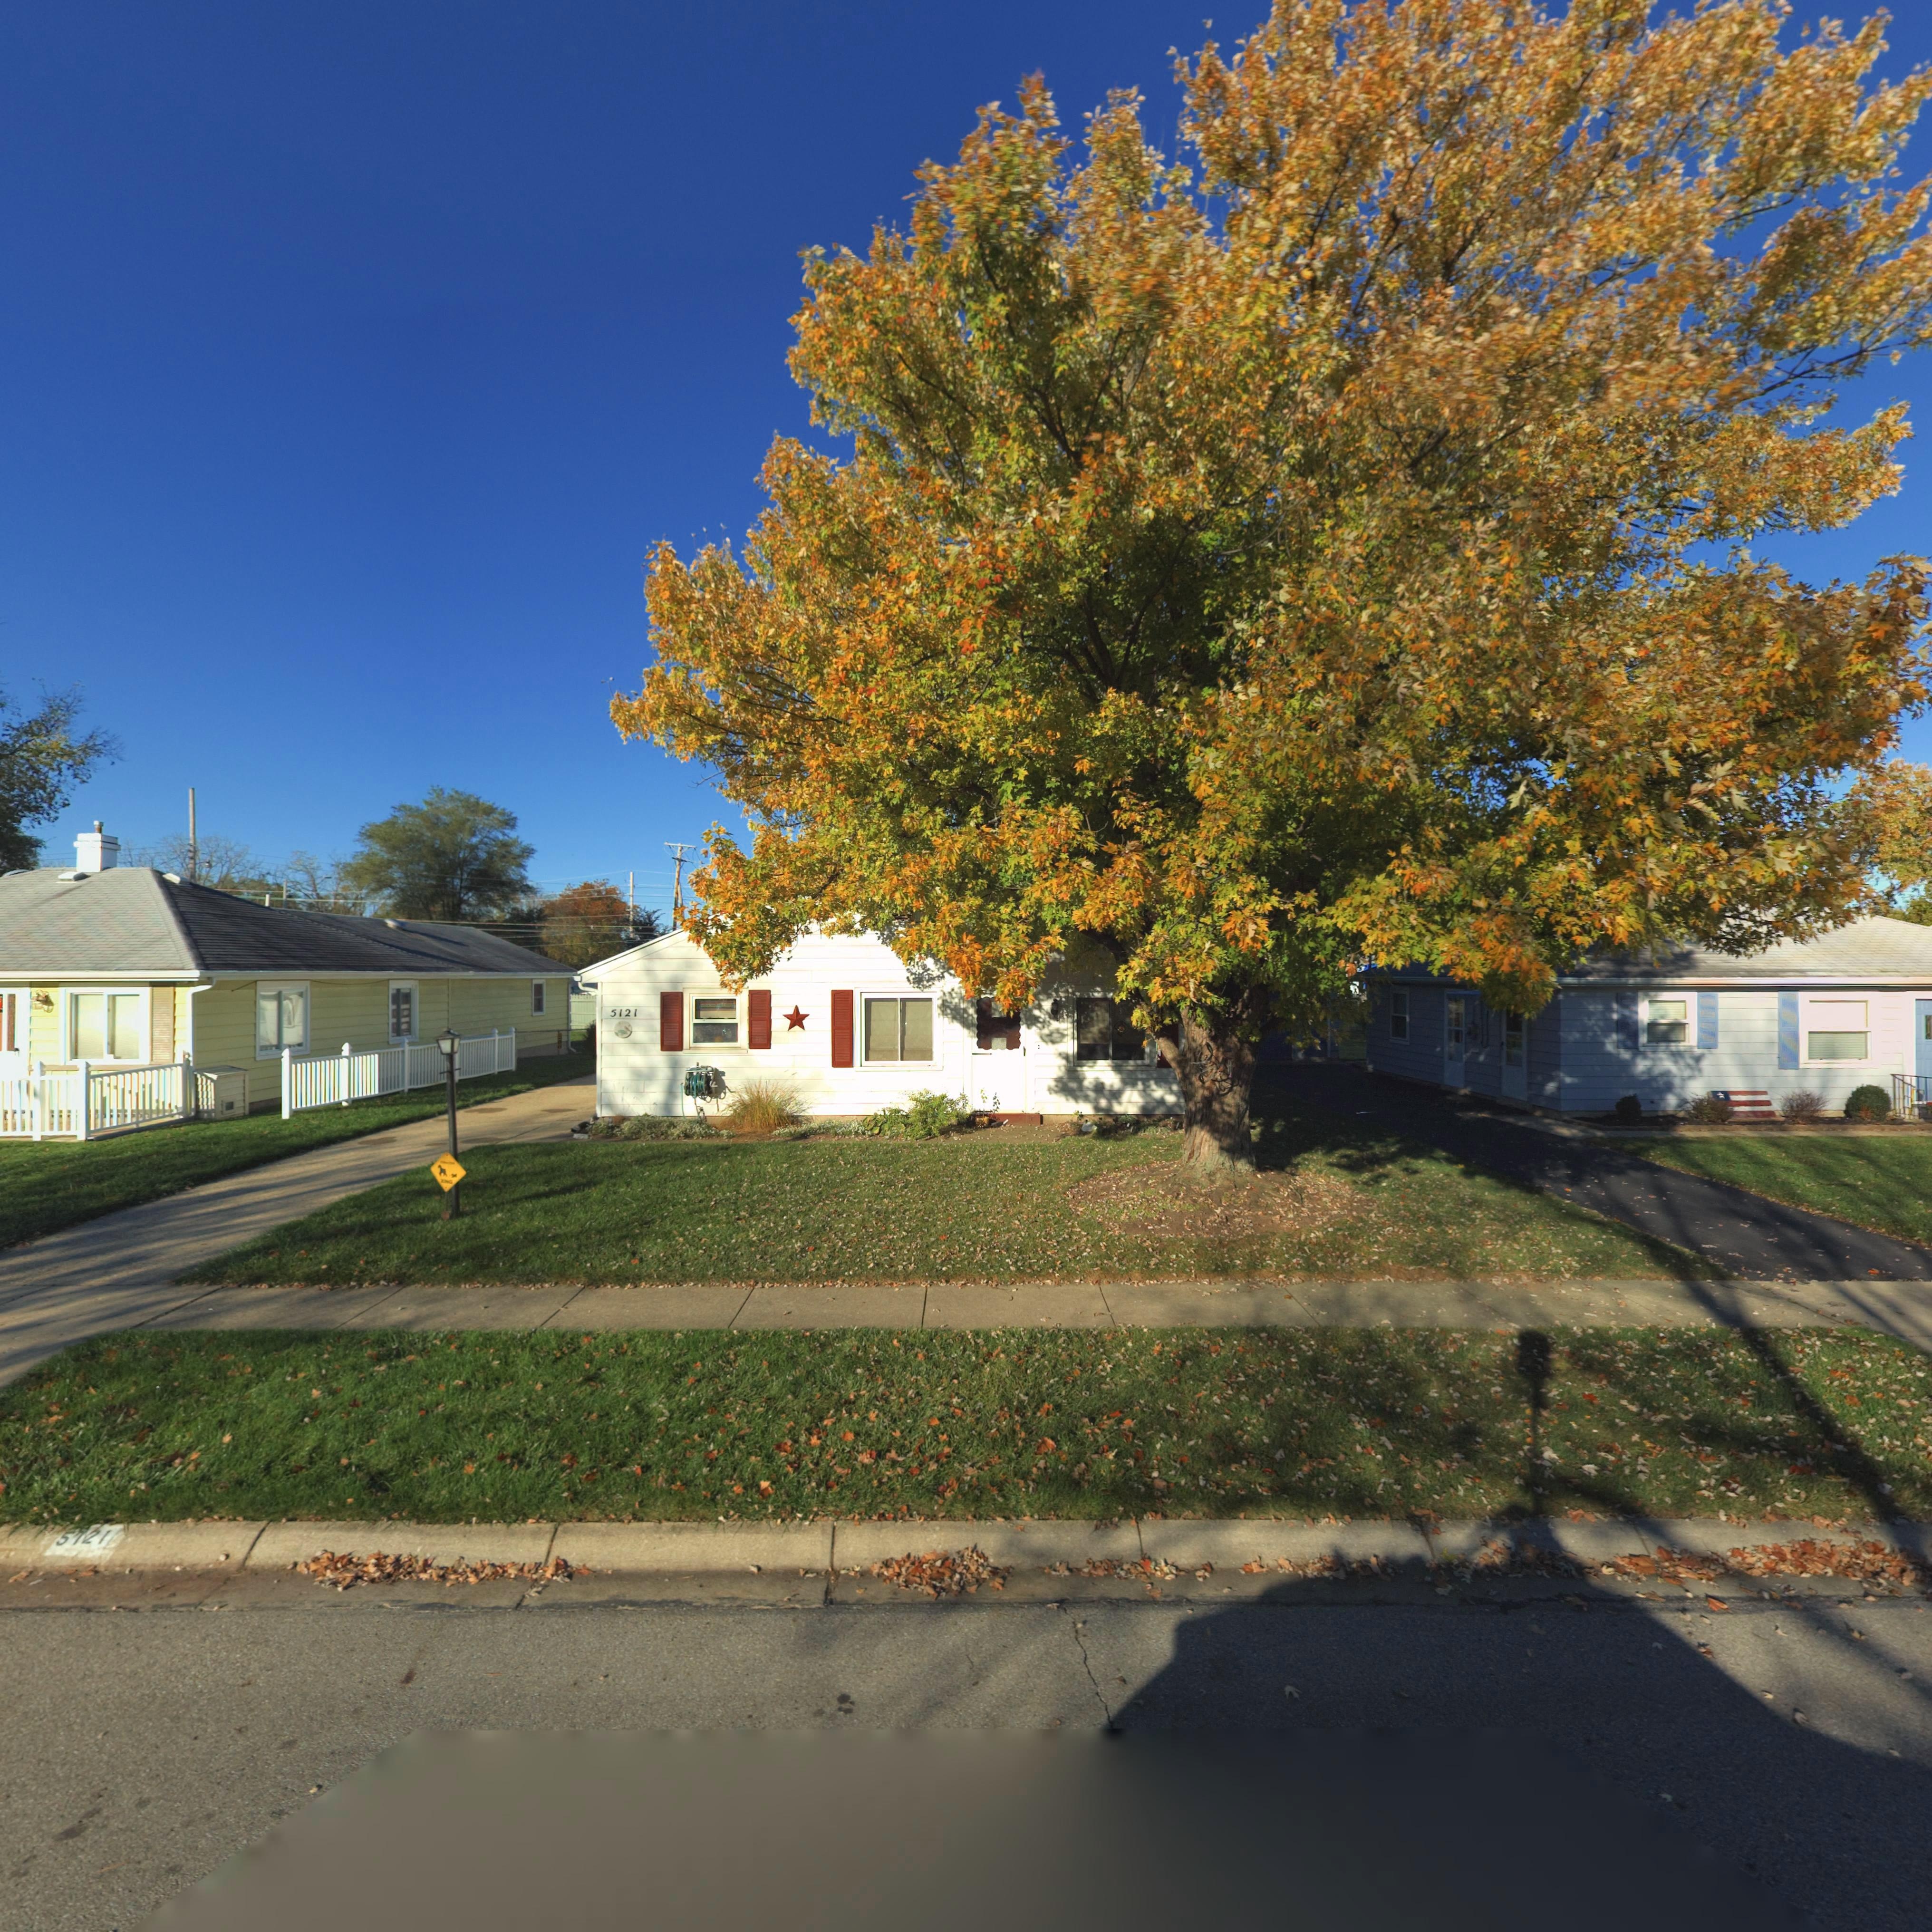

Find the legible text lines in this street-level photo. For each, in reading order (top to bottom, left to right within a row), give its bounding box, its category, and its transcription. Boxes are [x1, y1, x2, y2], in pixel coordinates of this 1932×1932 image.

[609, 1008, 638, 1017] StreetNumber: 5121
[52, 1529, 114, 1546] StreetNumber: 5121